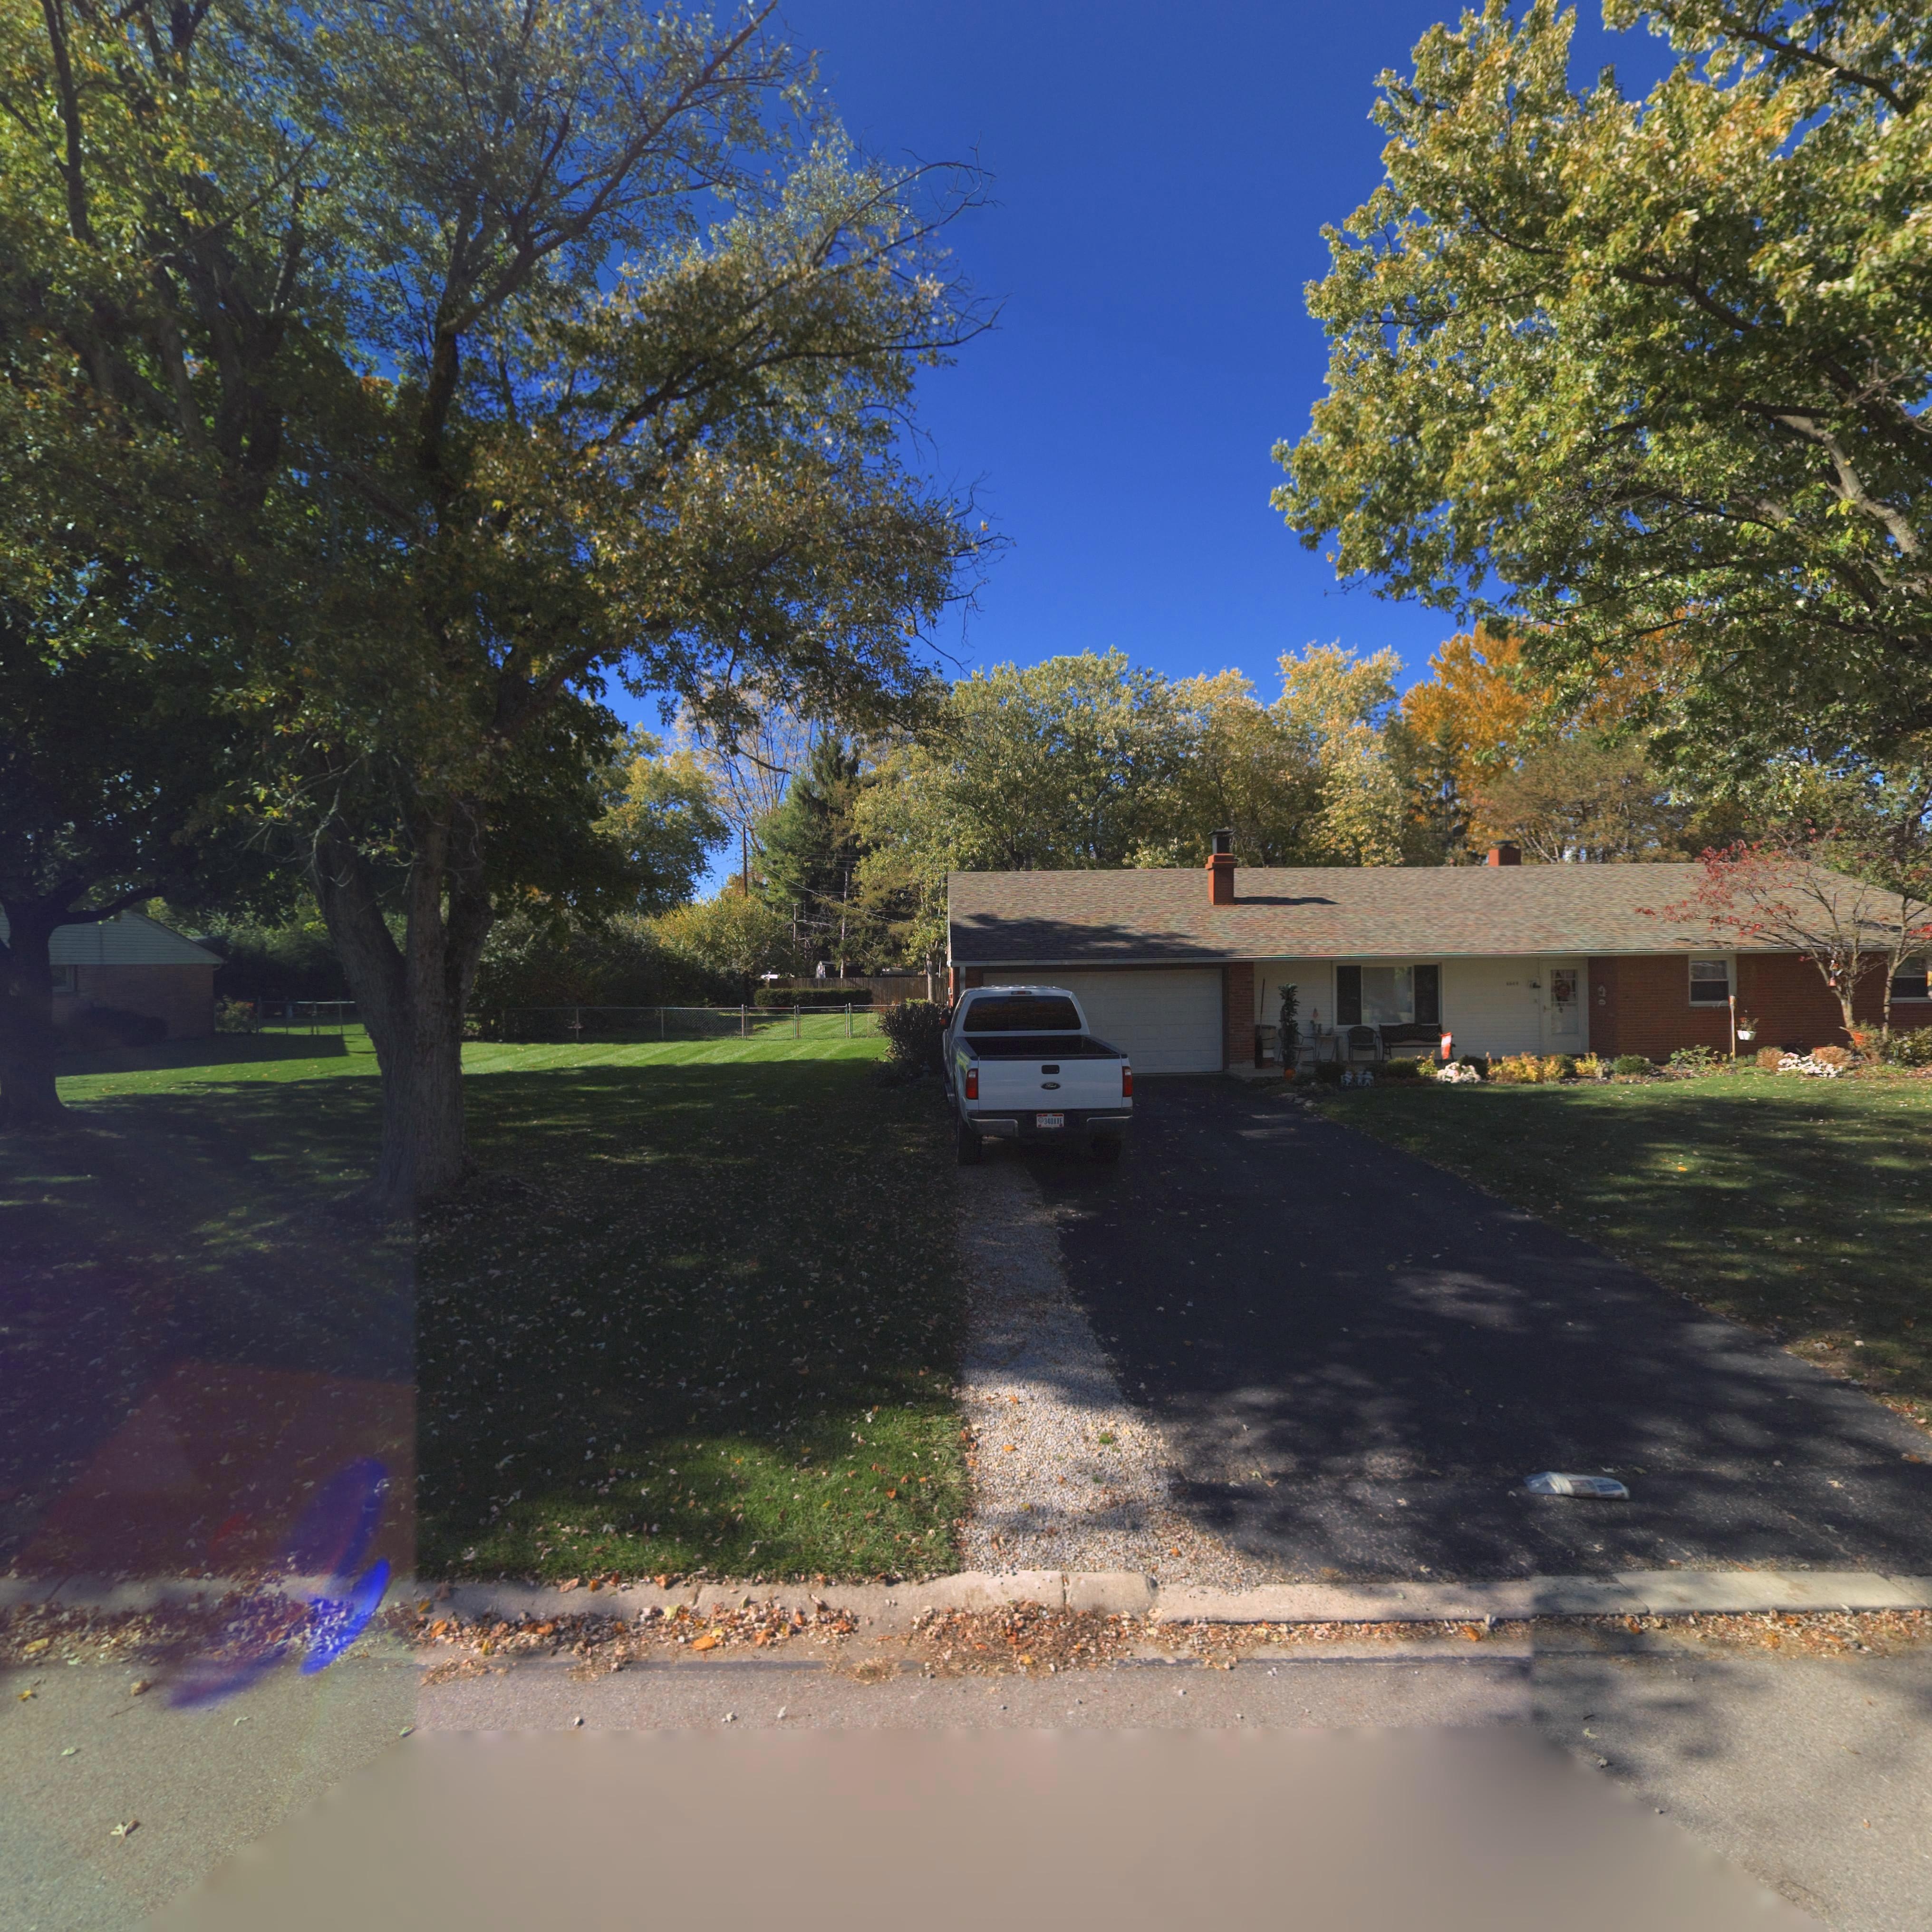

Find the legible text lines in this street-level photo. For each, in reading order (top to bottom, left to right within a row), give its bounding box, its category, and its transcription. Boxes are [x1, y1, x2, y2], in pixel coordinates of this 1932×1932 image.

[1506, 981, 1519, 986] StreetNumber: 66**
[1003, 1099, 1099, 1108] None: SUPER DUTY
[1043, 1117, 1063, 1125] None: 340XXE